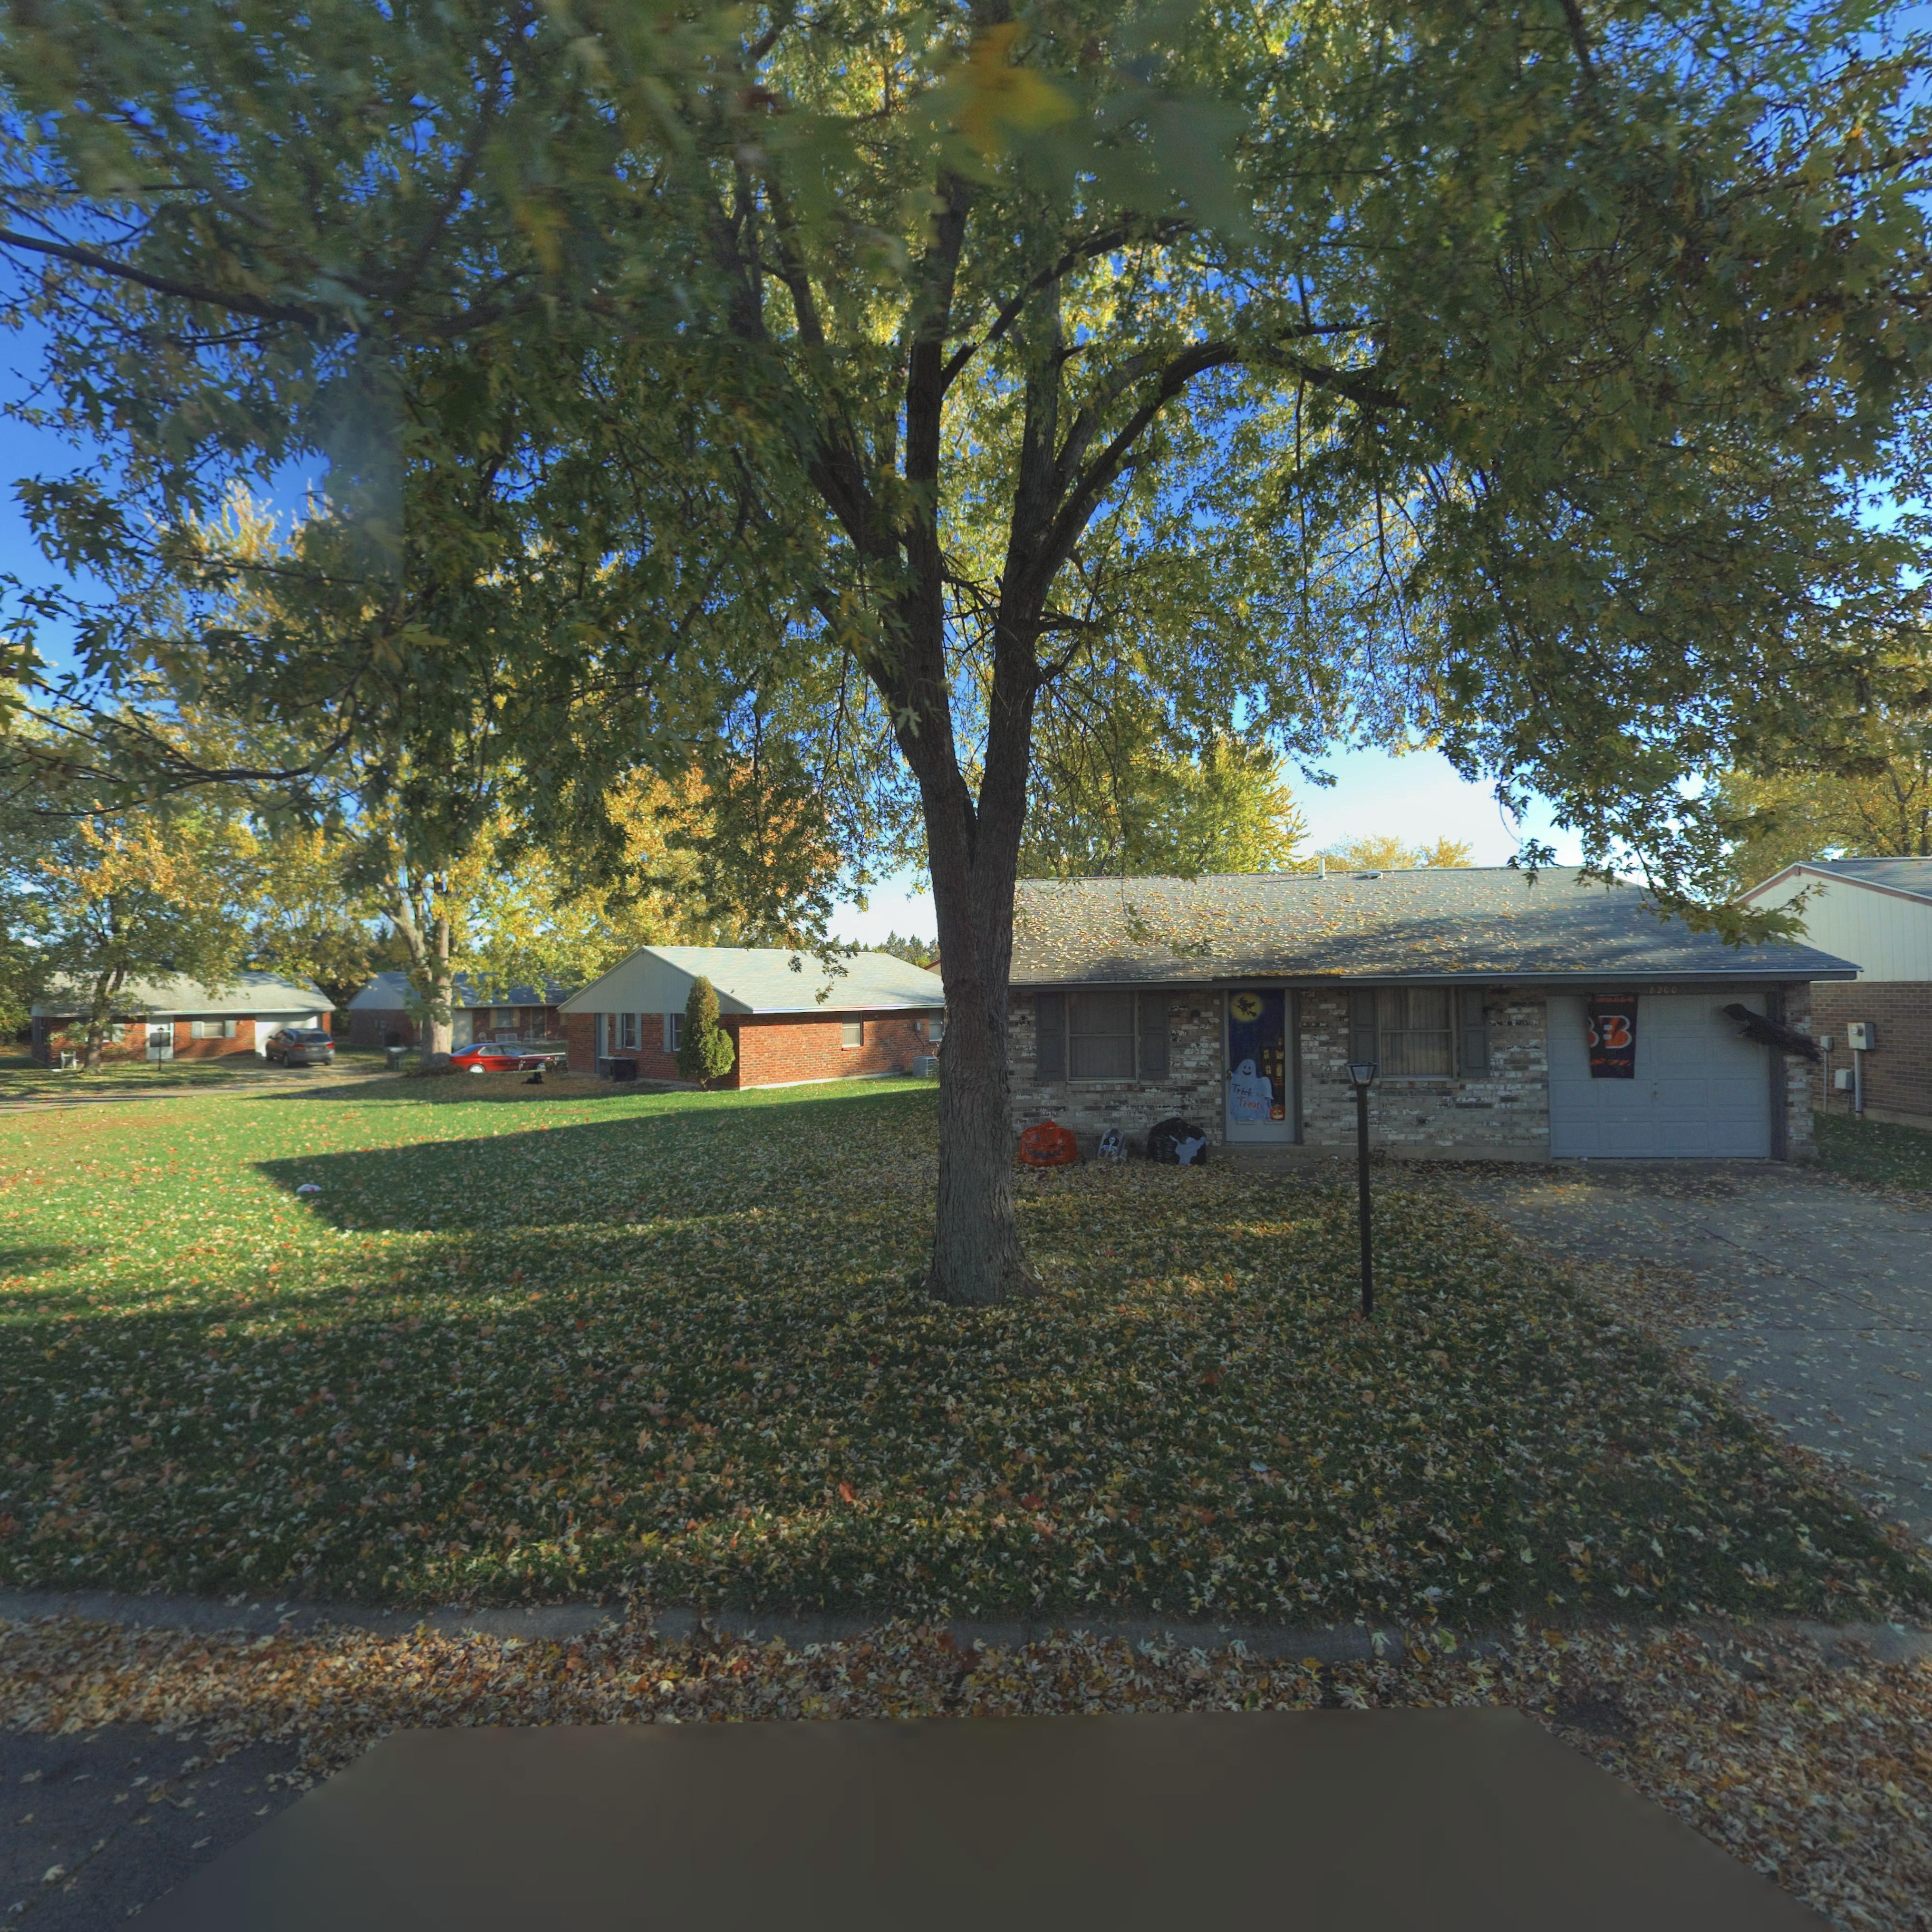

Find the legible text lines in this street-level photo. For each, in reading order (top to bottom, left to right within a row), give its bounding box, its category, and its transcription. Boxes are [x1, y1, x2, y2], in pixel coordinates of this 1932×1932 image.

[1649, 985, 1678, 995] StreetNumber: 8200